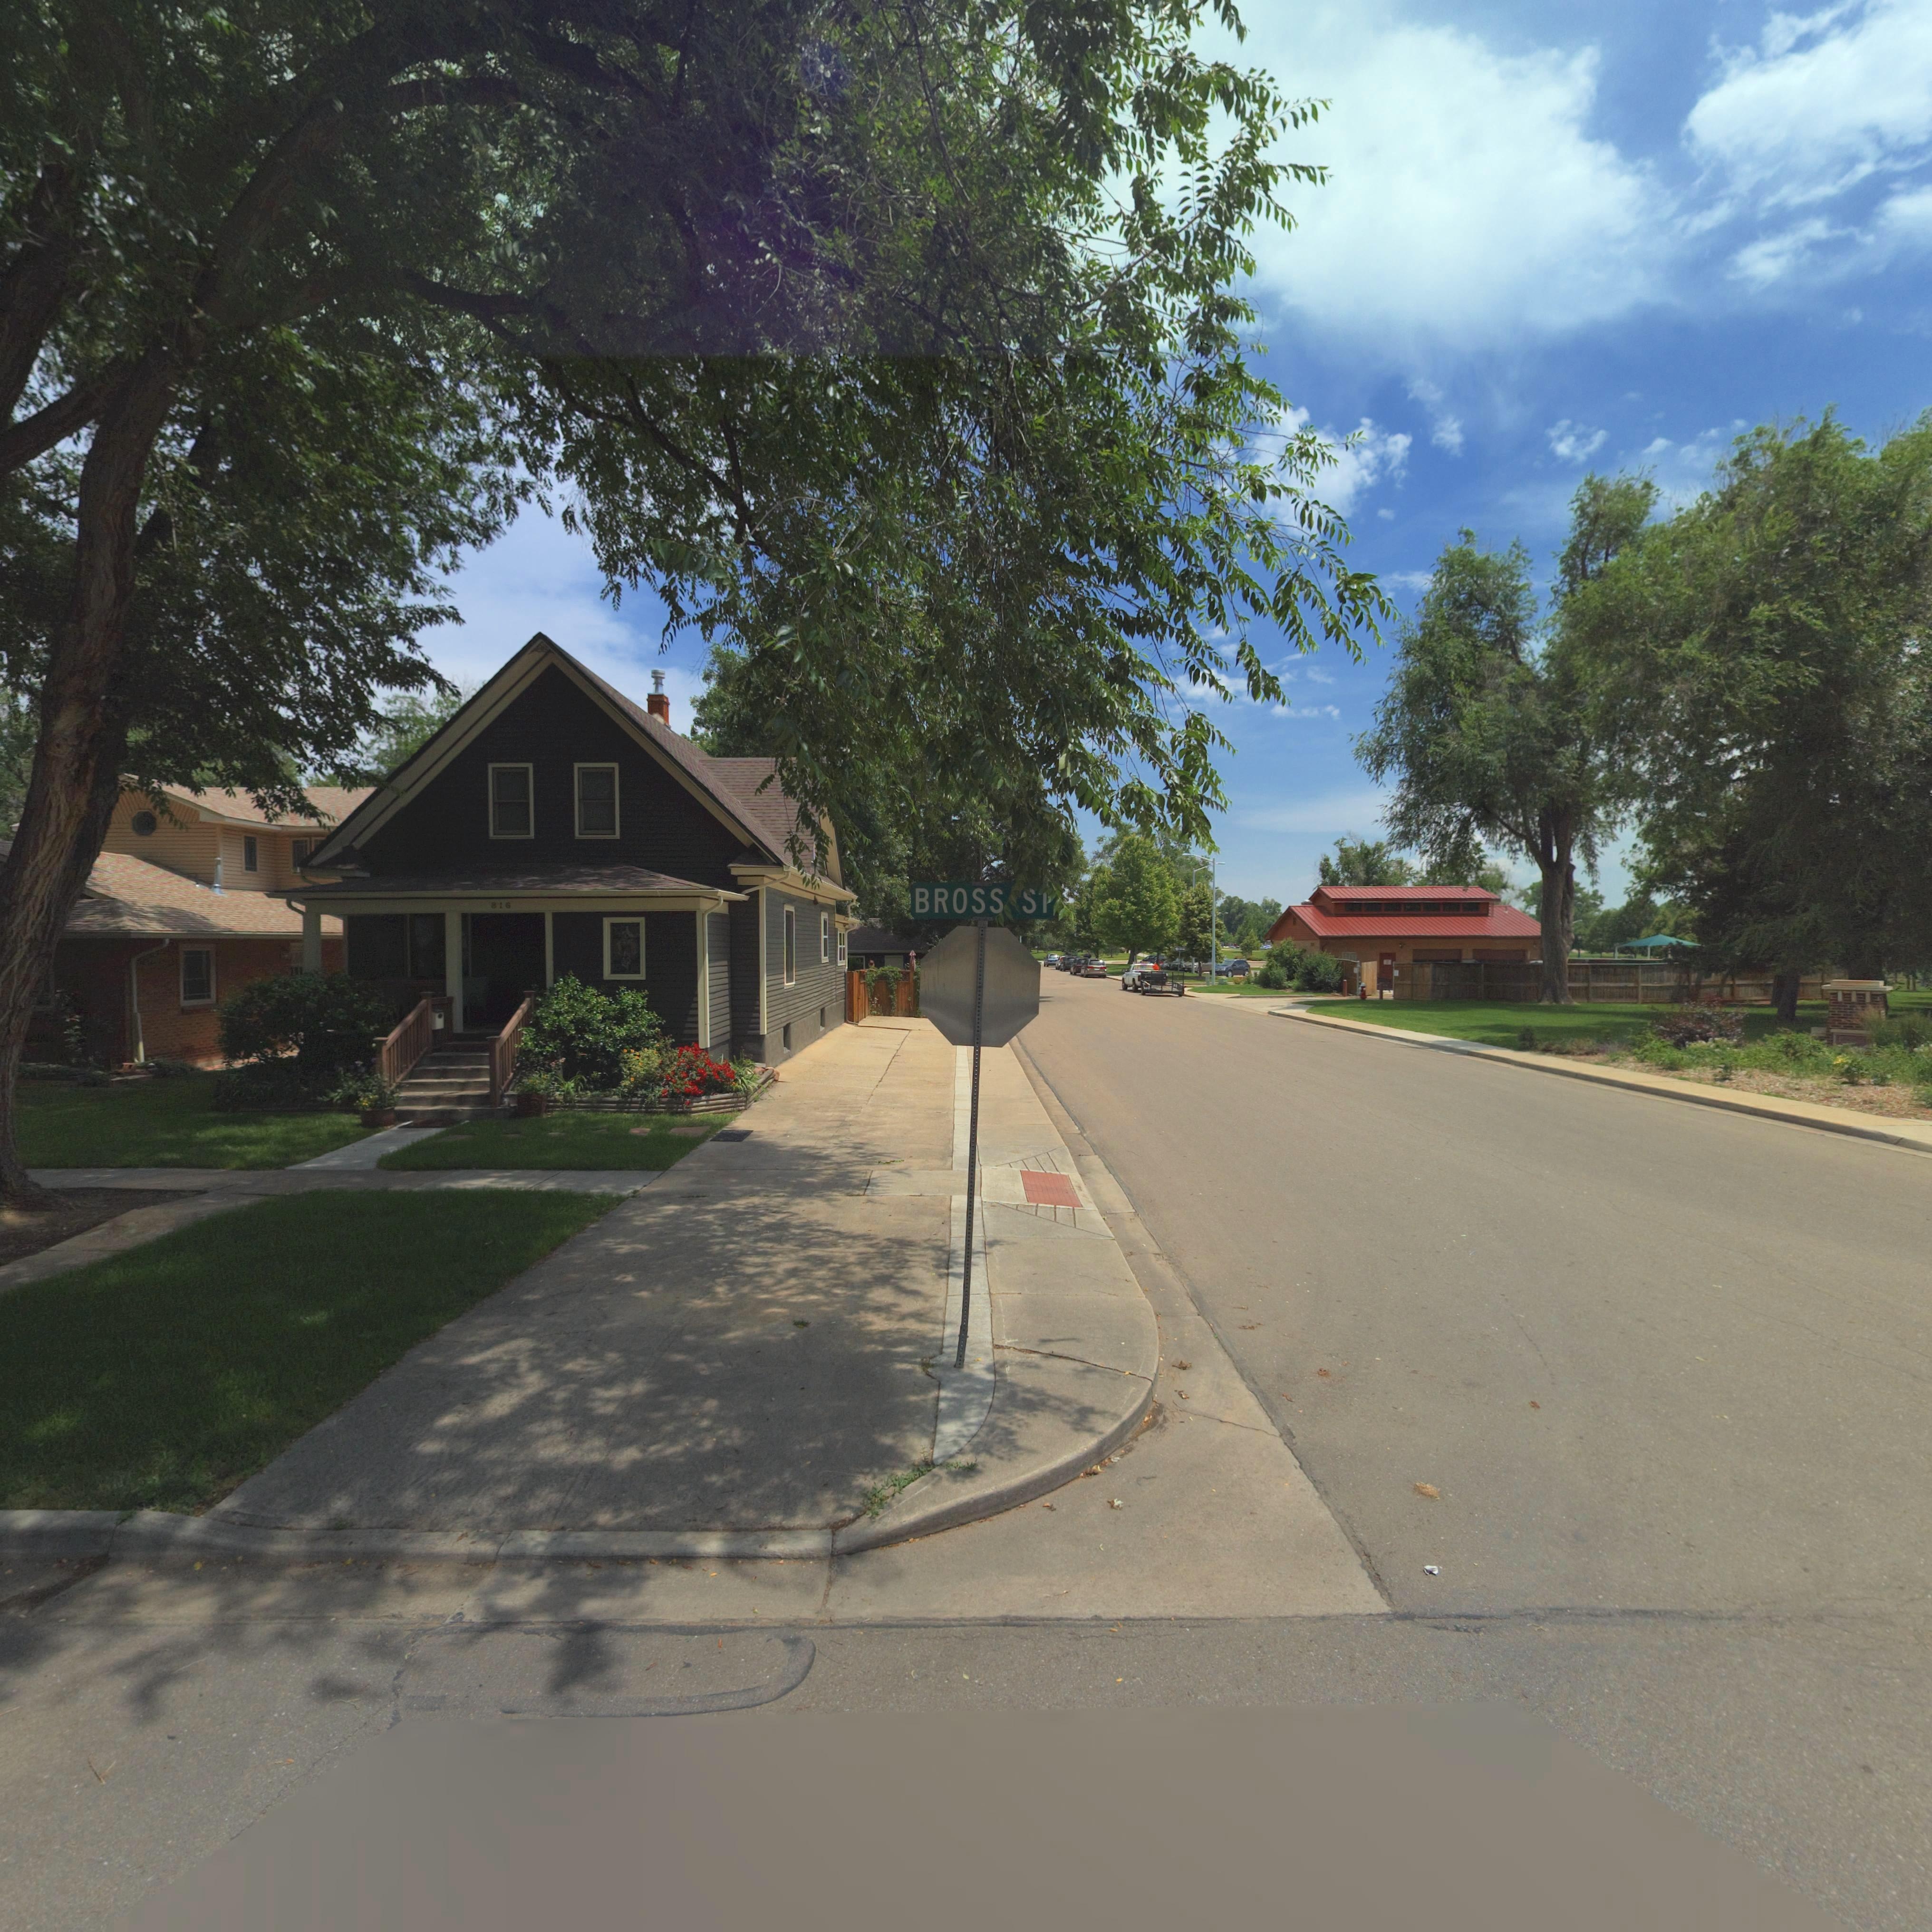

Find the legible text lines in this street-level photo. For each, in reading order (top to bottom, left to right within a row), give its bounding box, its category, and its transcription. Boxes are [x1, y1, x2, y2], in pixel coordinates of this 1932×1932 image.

[490, 901, 512, 909] StreetNumber: 816
[914, 886, 1053, 914] StreetName: BROSS S*